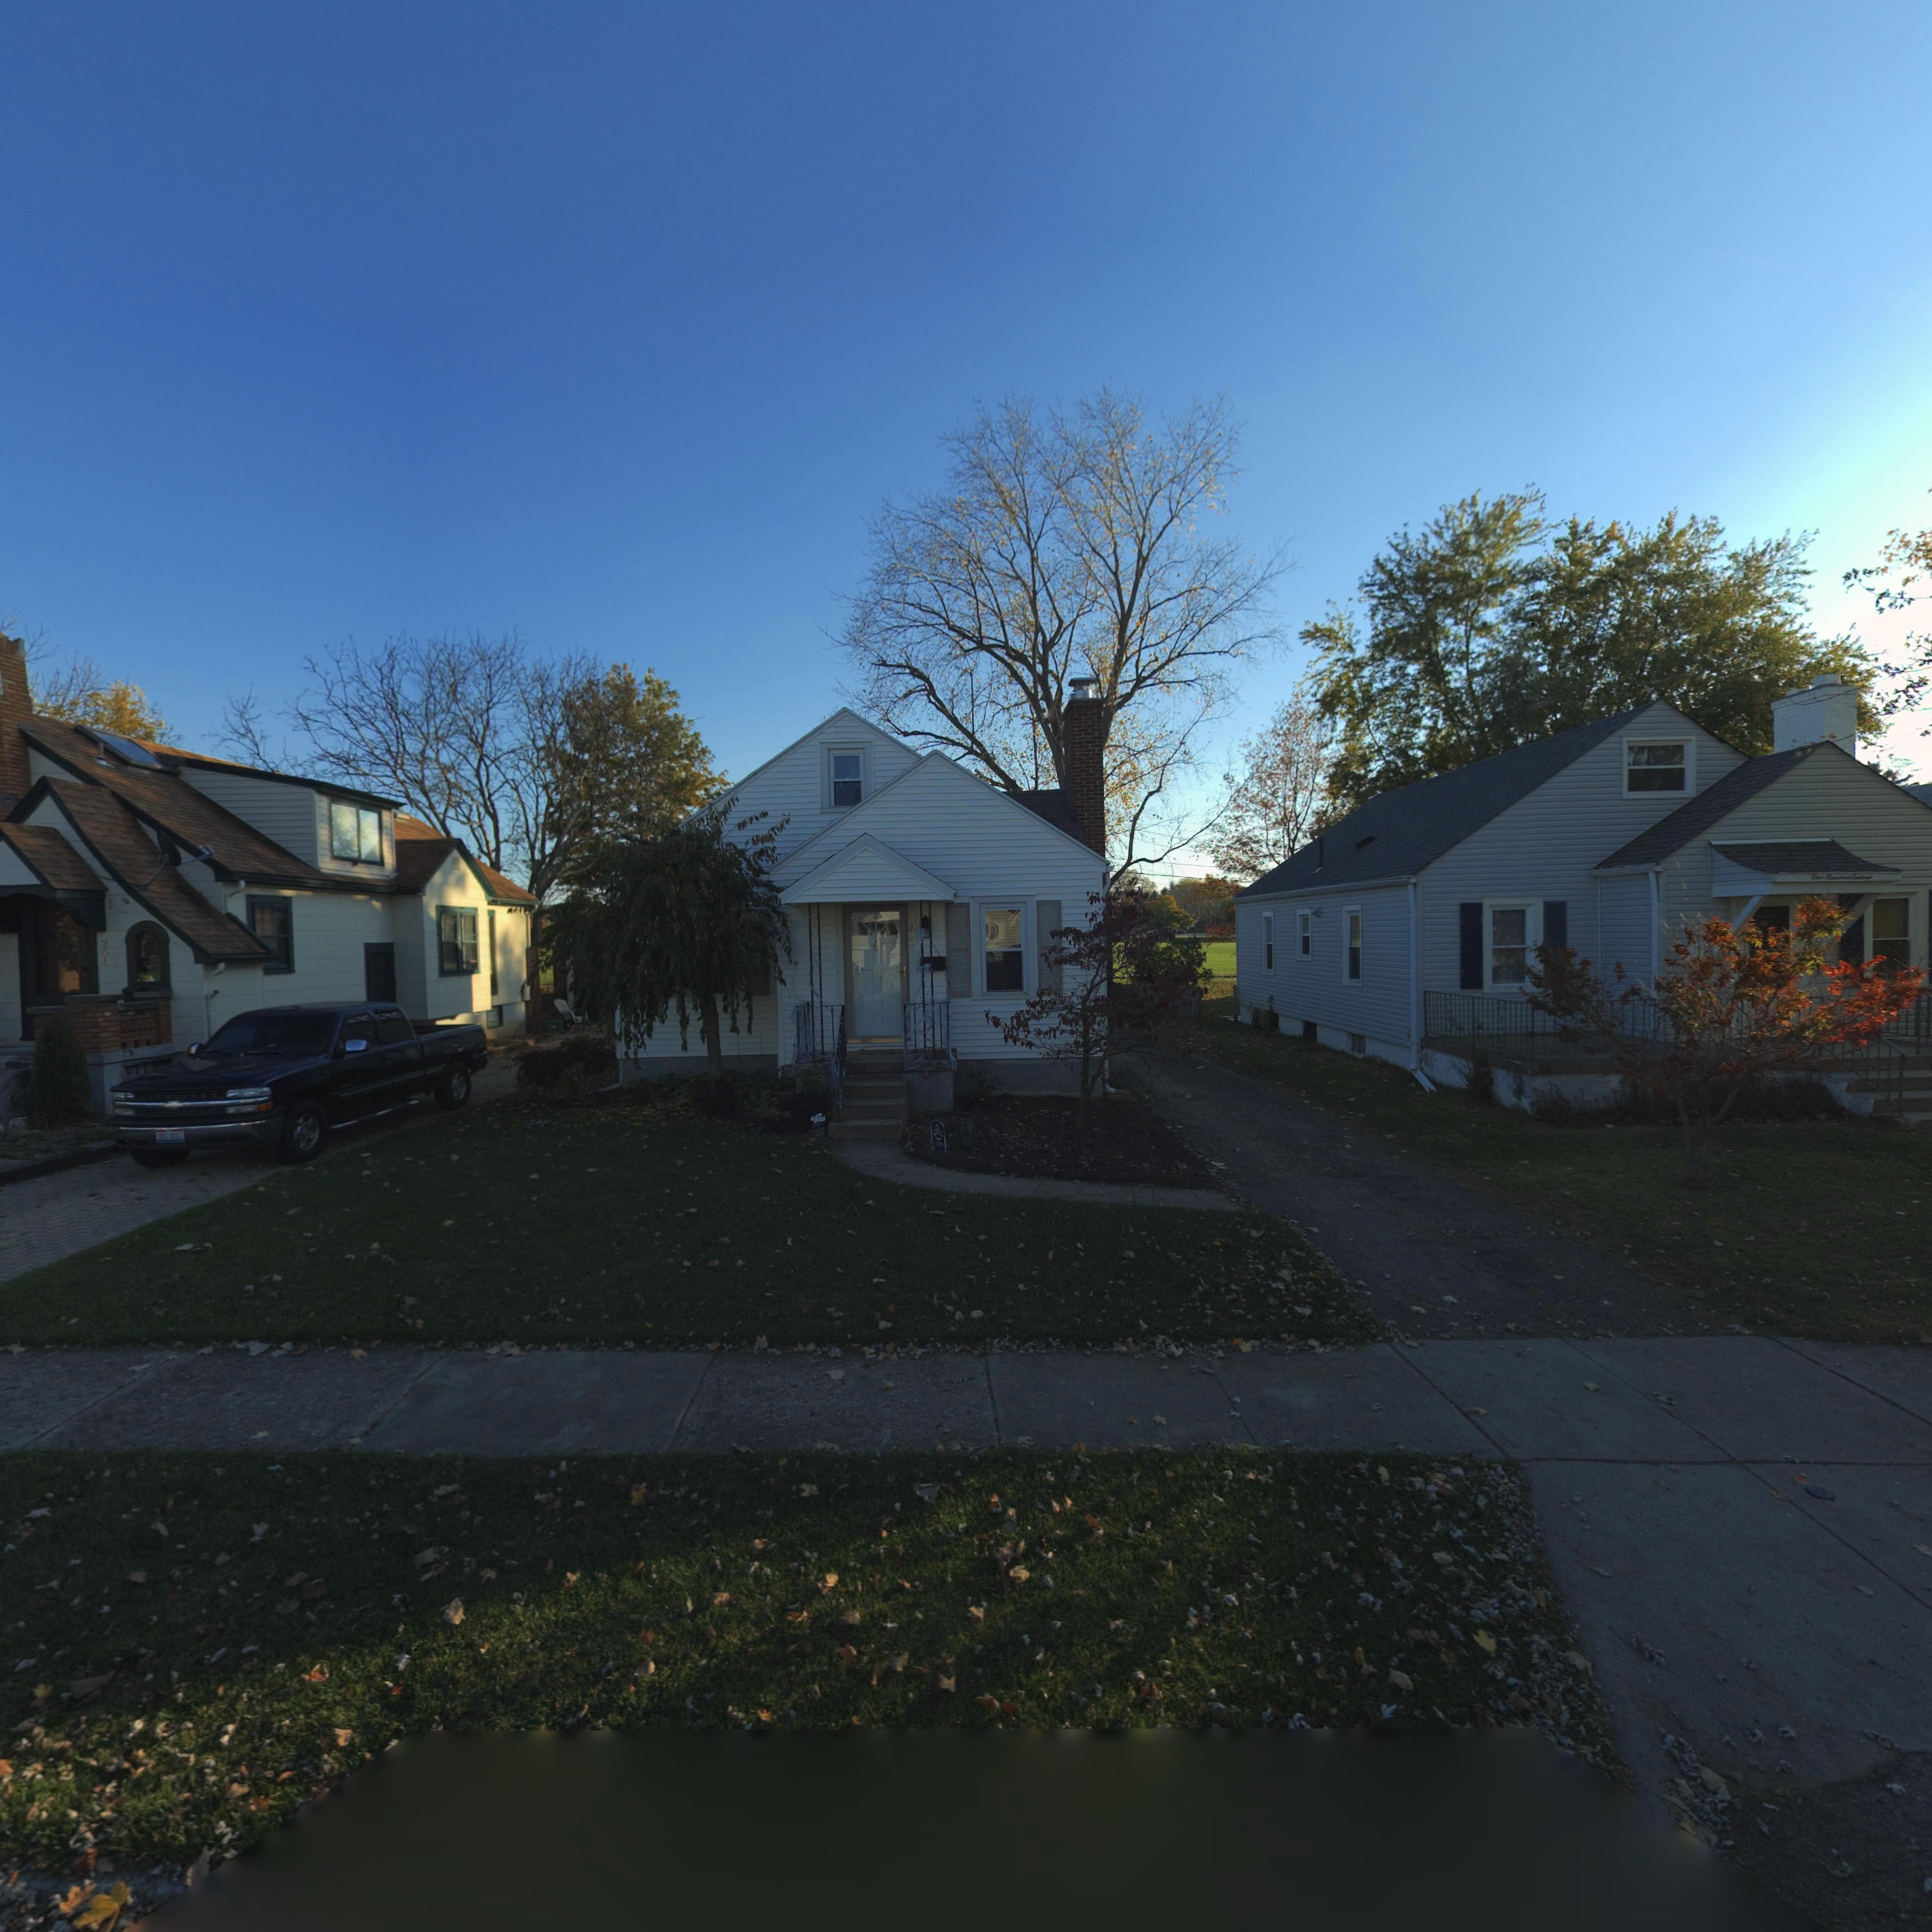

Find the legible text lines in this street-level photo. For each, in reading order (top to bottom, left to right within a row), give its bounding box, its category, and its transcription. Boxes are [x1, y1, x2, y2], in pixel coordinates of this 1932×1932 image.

[1810, 872, 1858, 880] StreetNumber: One Hundred
[908, 924, 914, 947] StreetNumber: 200
[100, 938, 109, 967] StreetNumber: 204